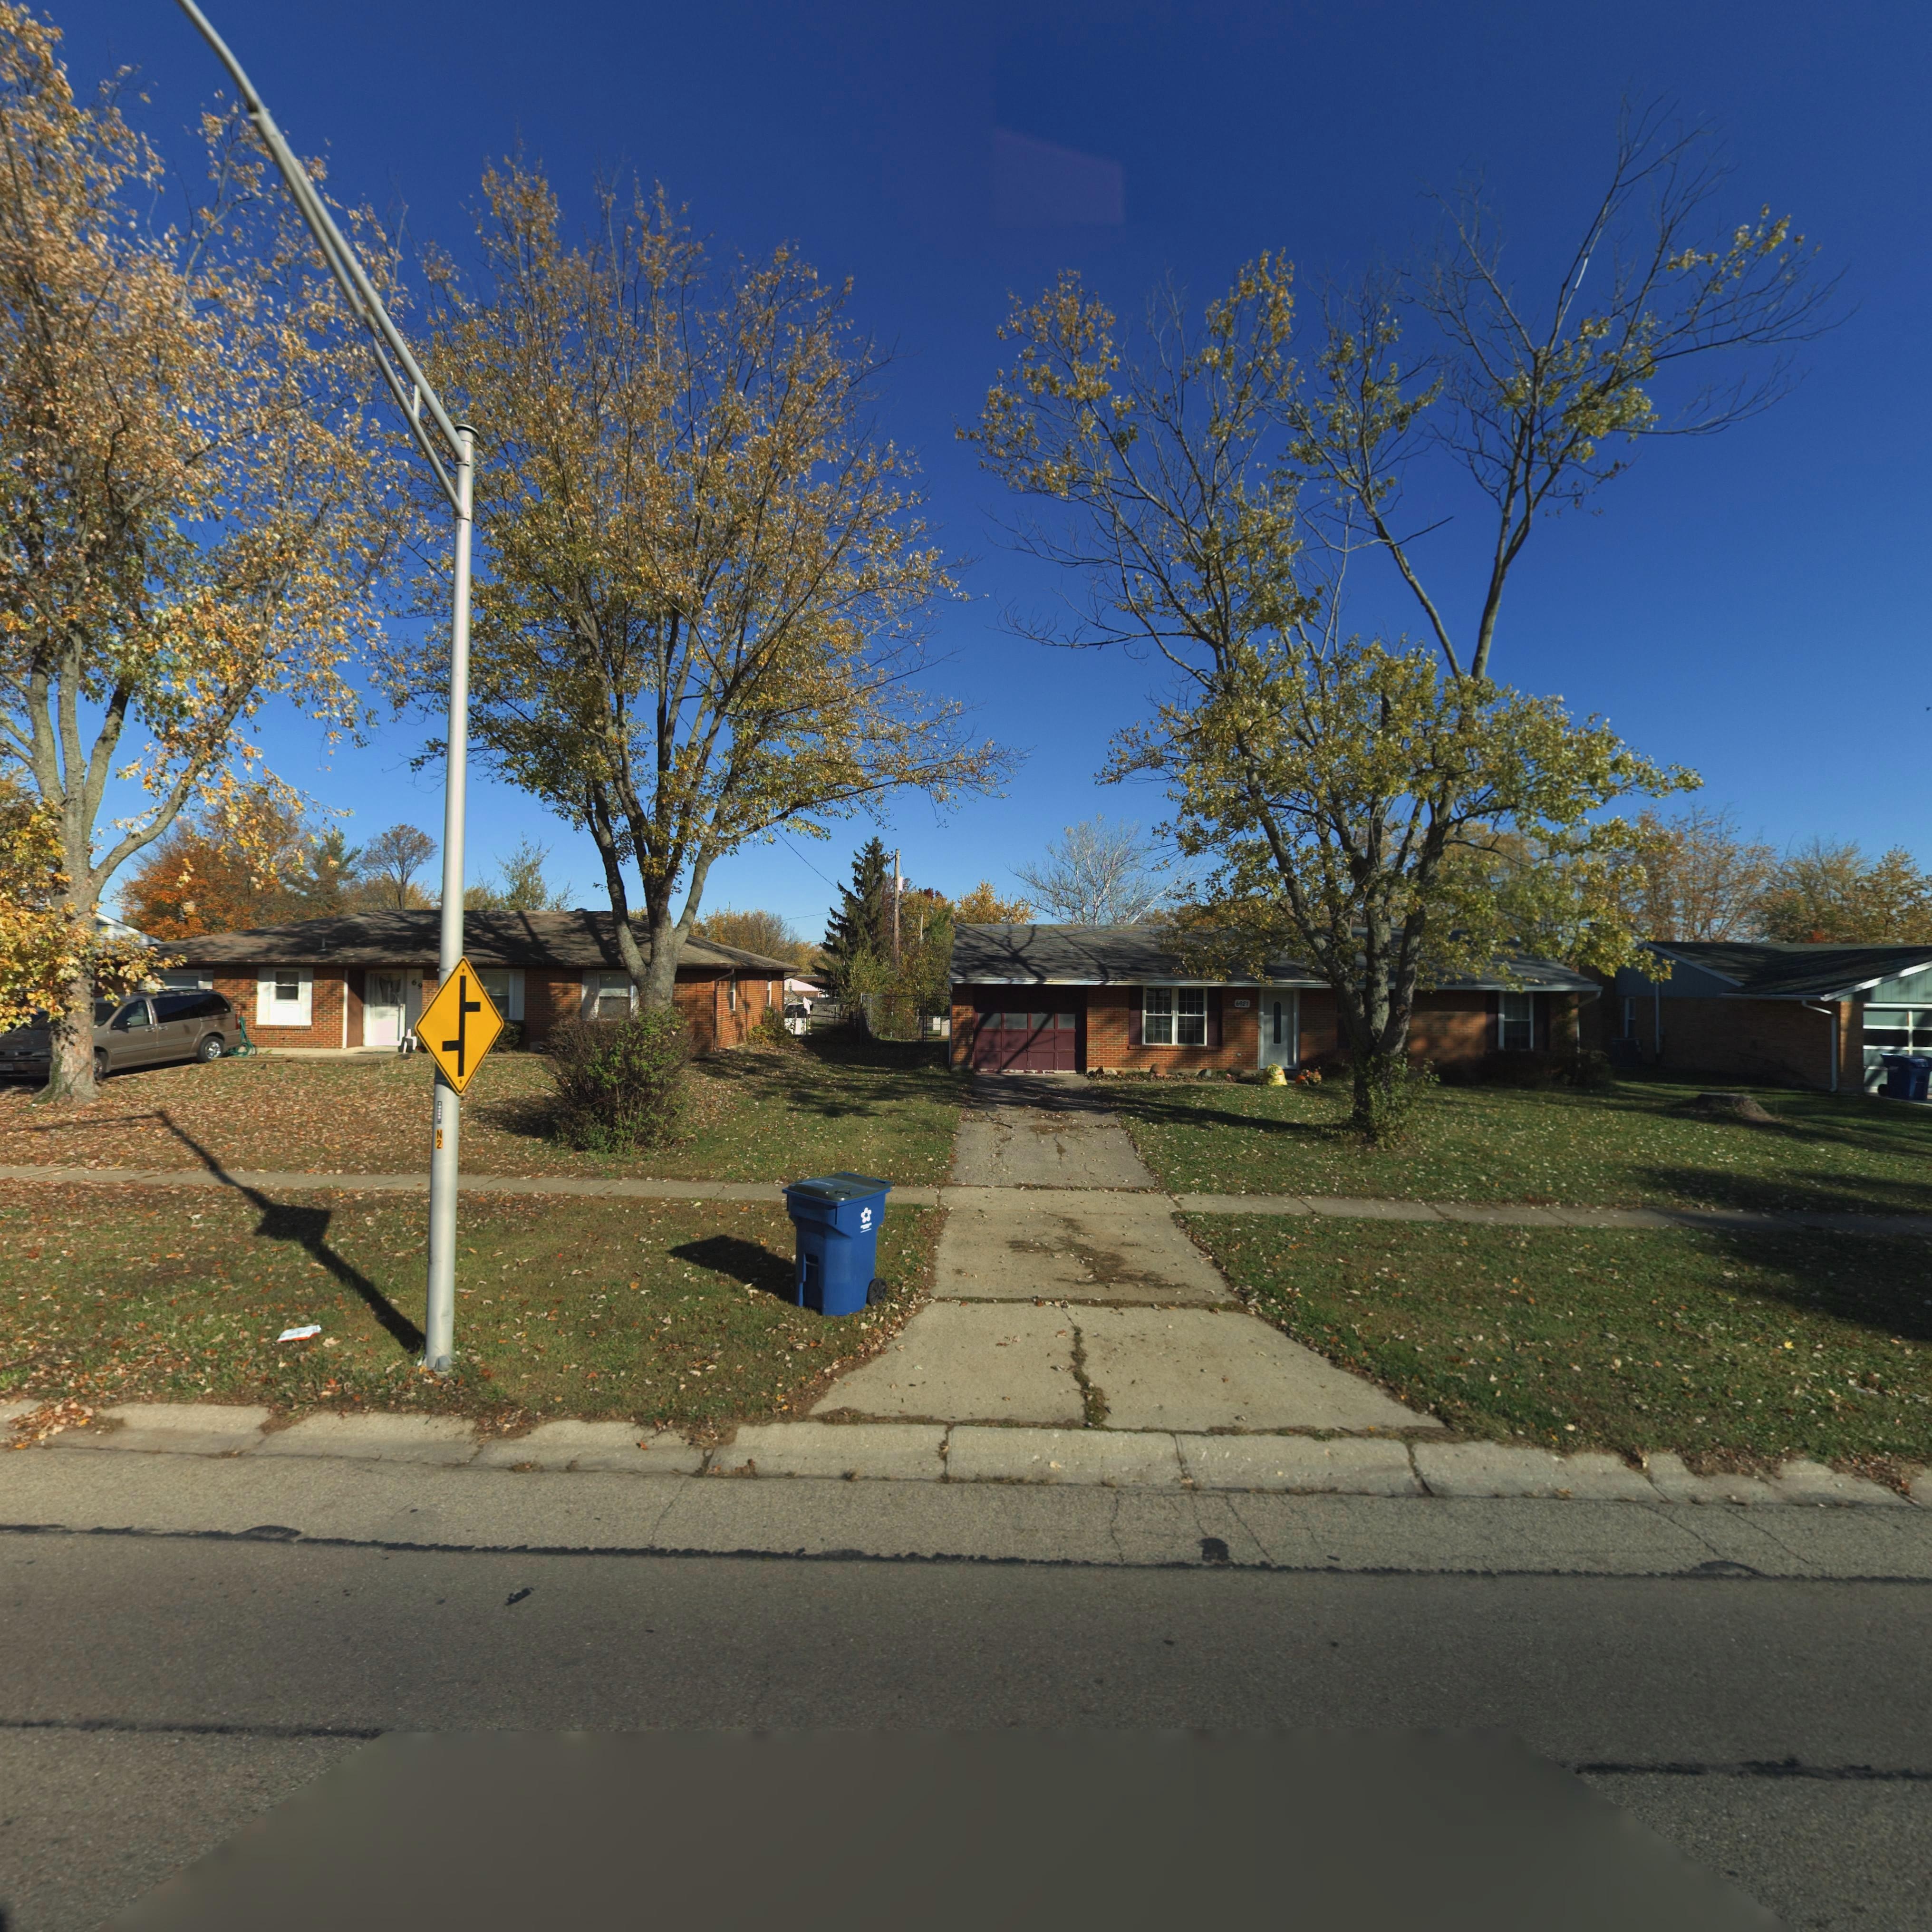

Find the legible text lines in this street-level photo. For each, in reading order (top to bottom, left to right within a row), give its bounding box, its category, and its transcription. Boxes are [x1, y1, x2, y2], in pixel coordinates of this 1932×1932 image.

[410, 978, 423, 990] StreetNumber: 69
[1235, 1000, 1249, 1008] StreetNumber: 6921